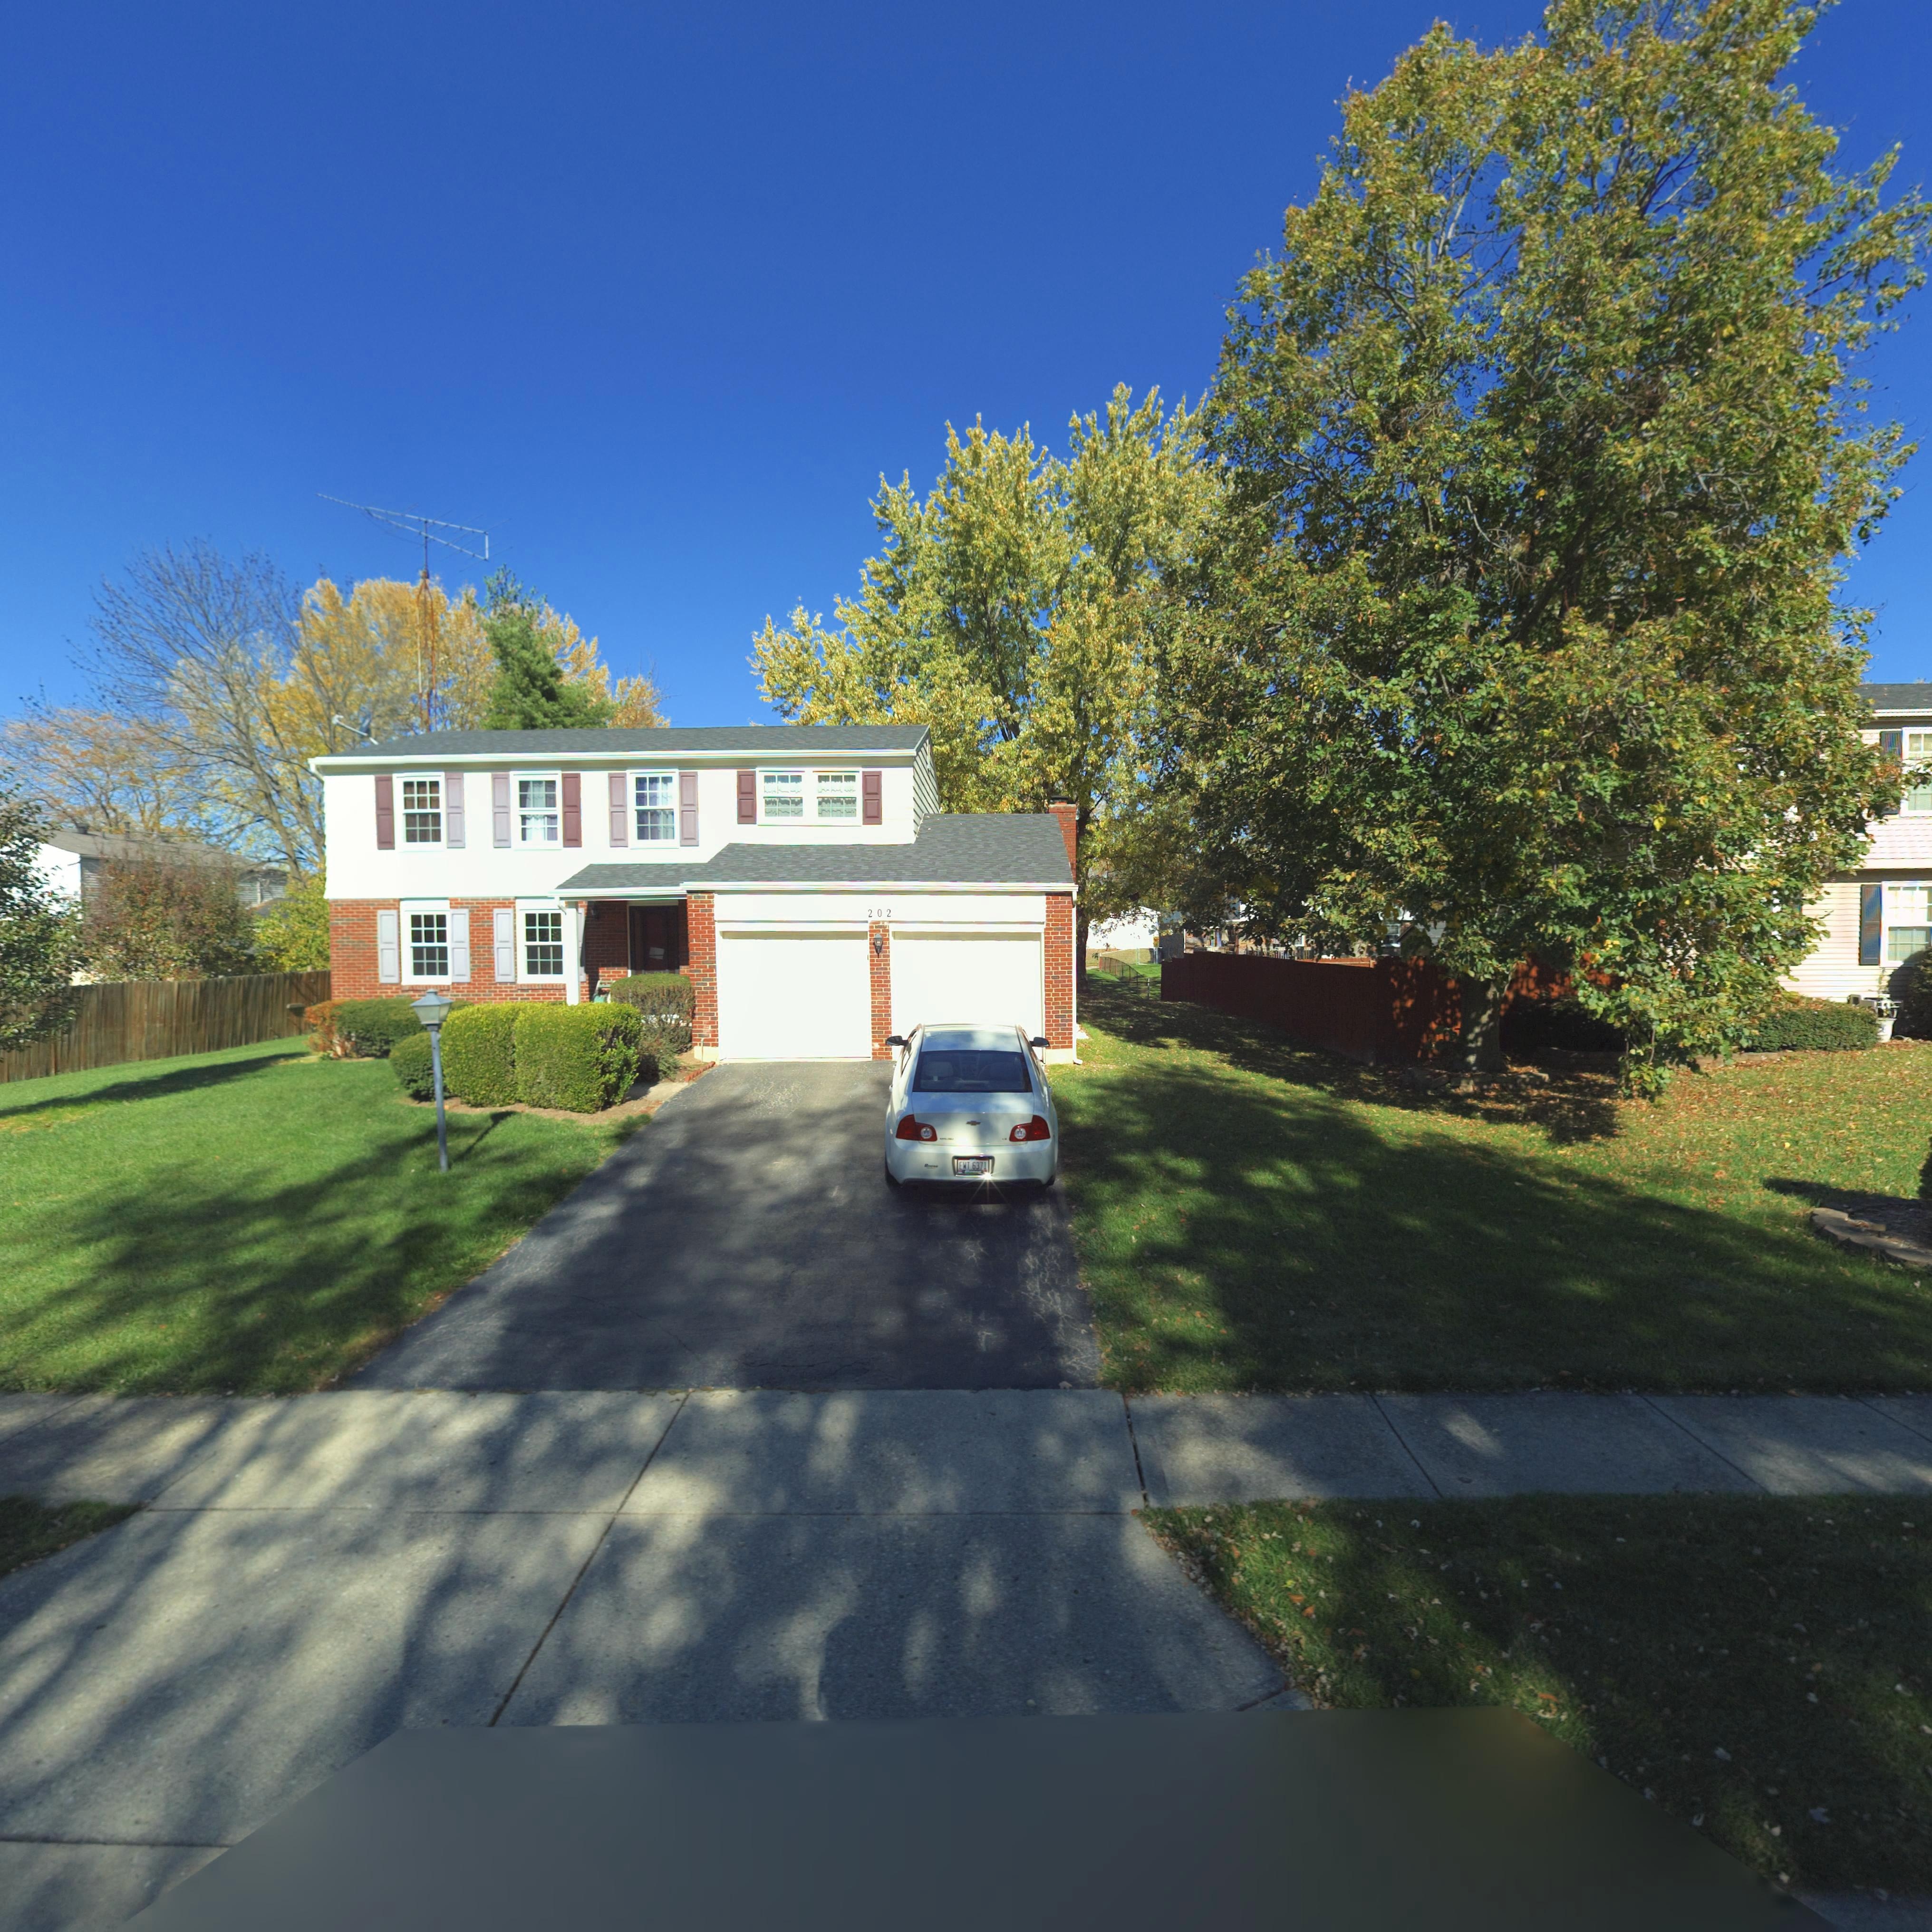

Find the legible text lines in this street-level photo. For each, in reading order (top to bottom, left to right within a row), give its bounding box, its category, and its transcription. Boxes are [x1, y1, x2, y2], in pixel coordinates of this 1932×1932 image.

[867, 908, 892, 918] StreetNumber: 202